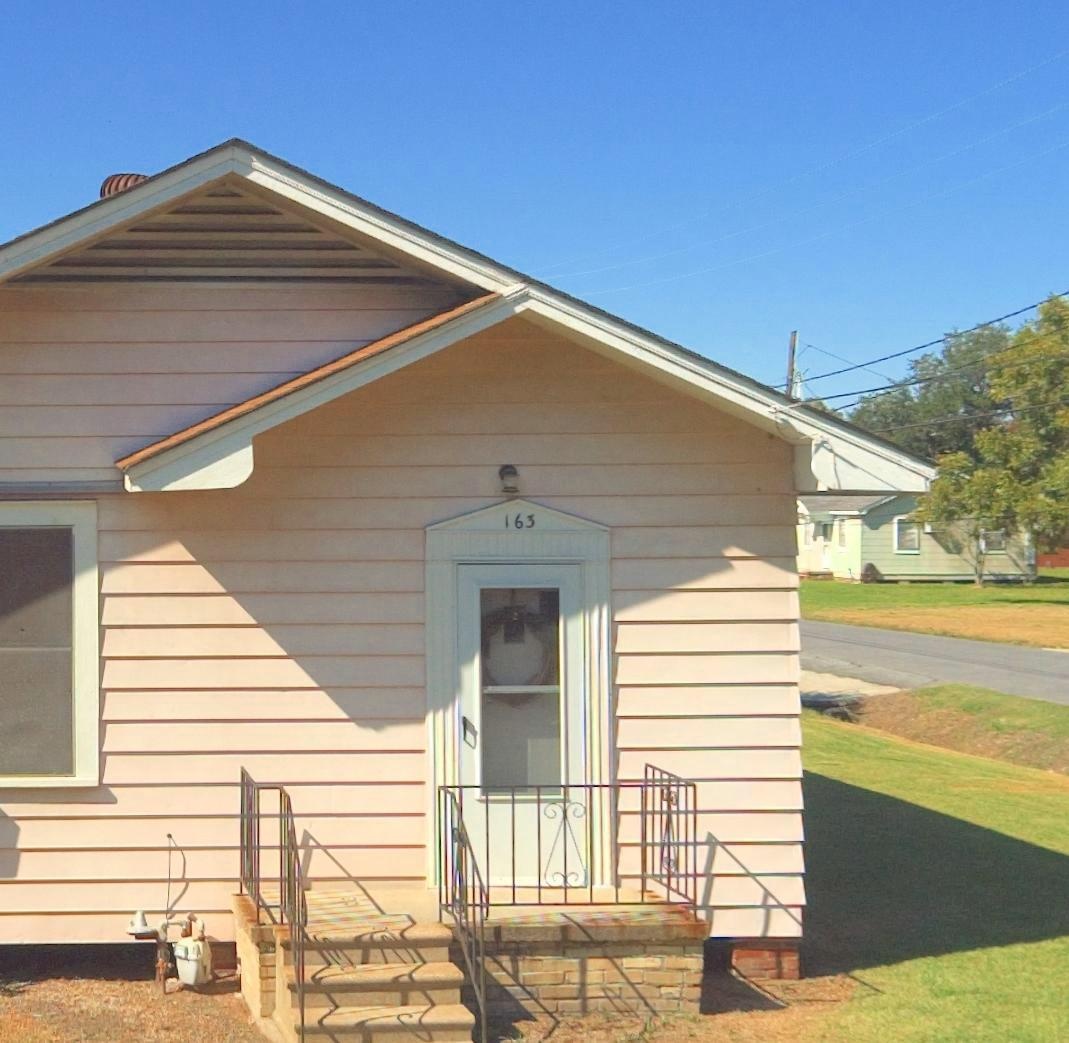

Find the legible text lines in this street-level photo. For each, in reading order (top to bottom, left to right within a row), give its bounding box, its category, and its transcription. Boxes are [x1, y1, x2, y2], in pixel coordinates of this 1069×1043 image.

[504, 512, 536, 529] StreetNumber: 163